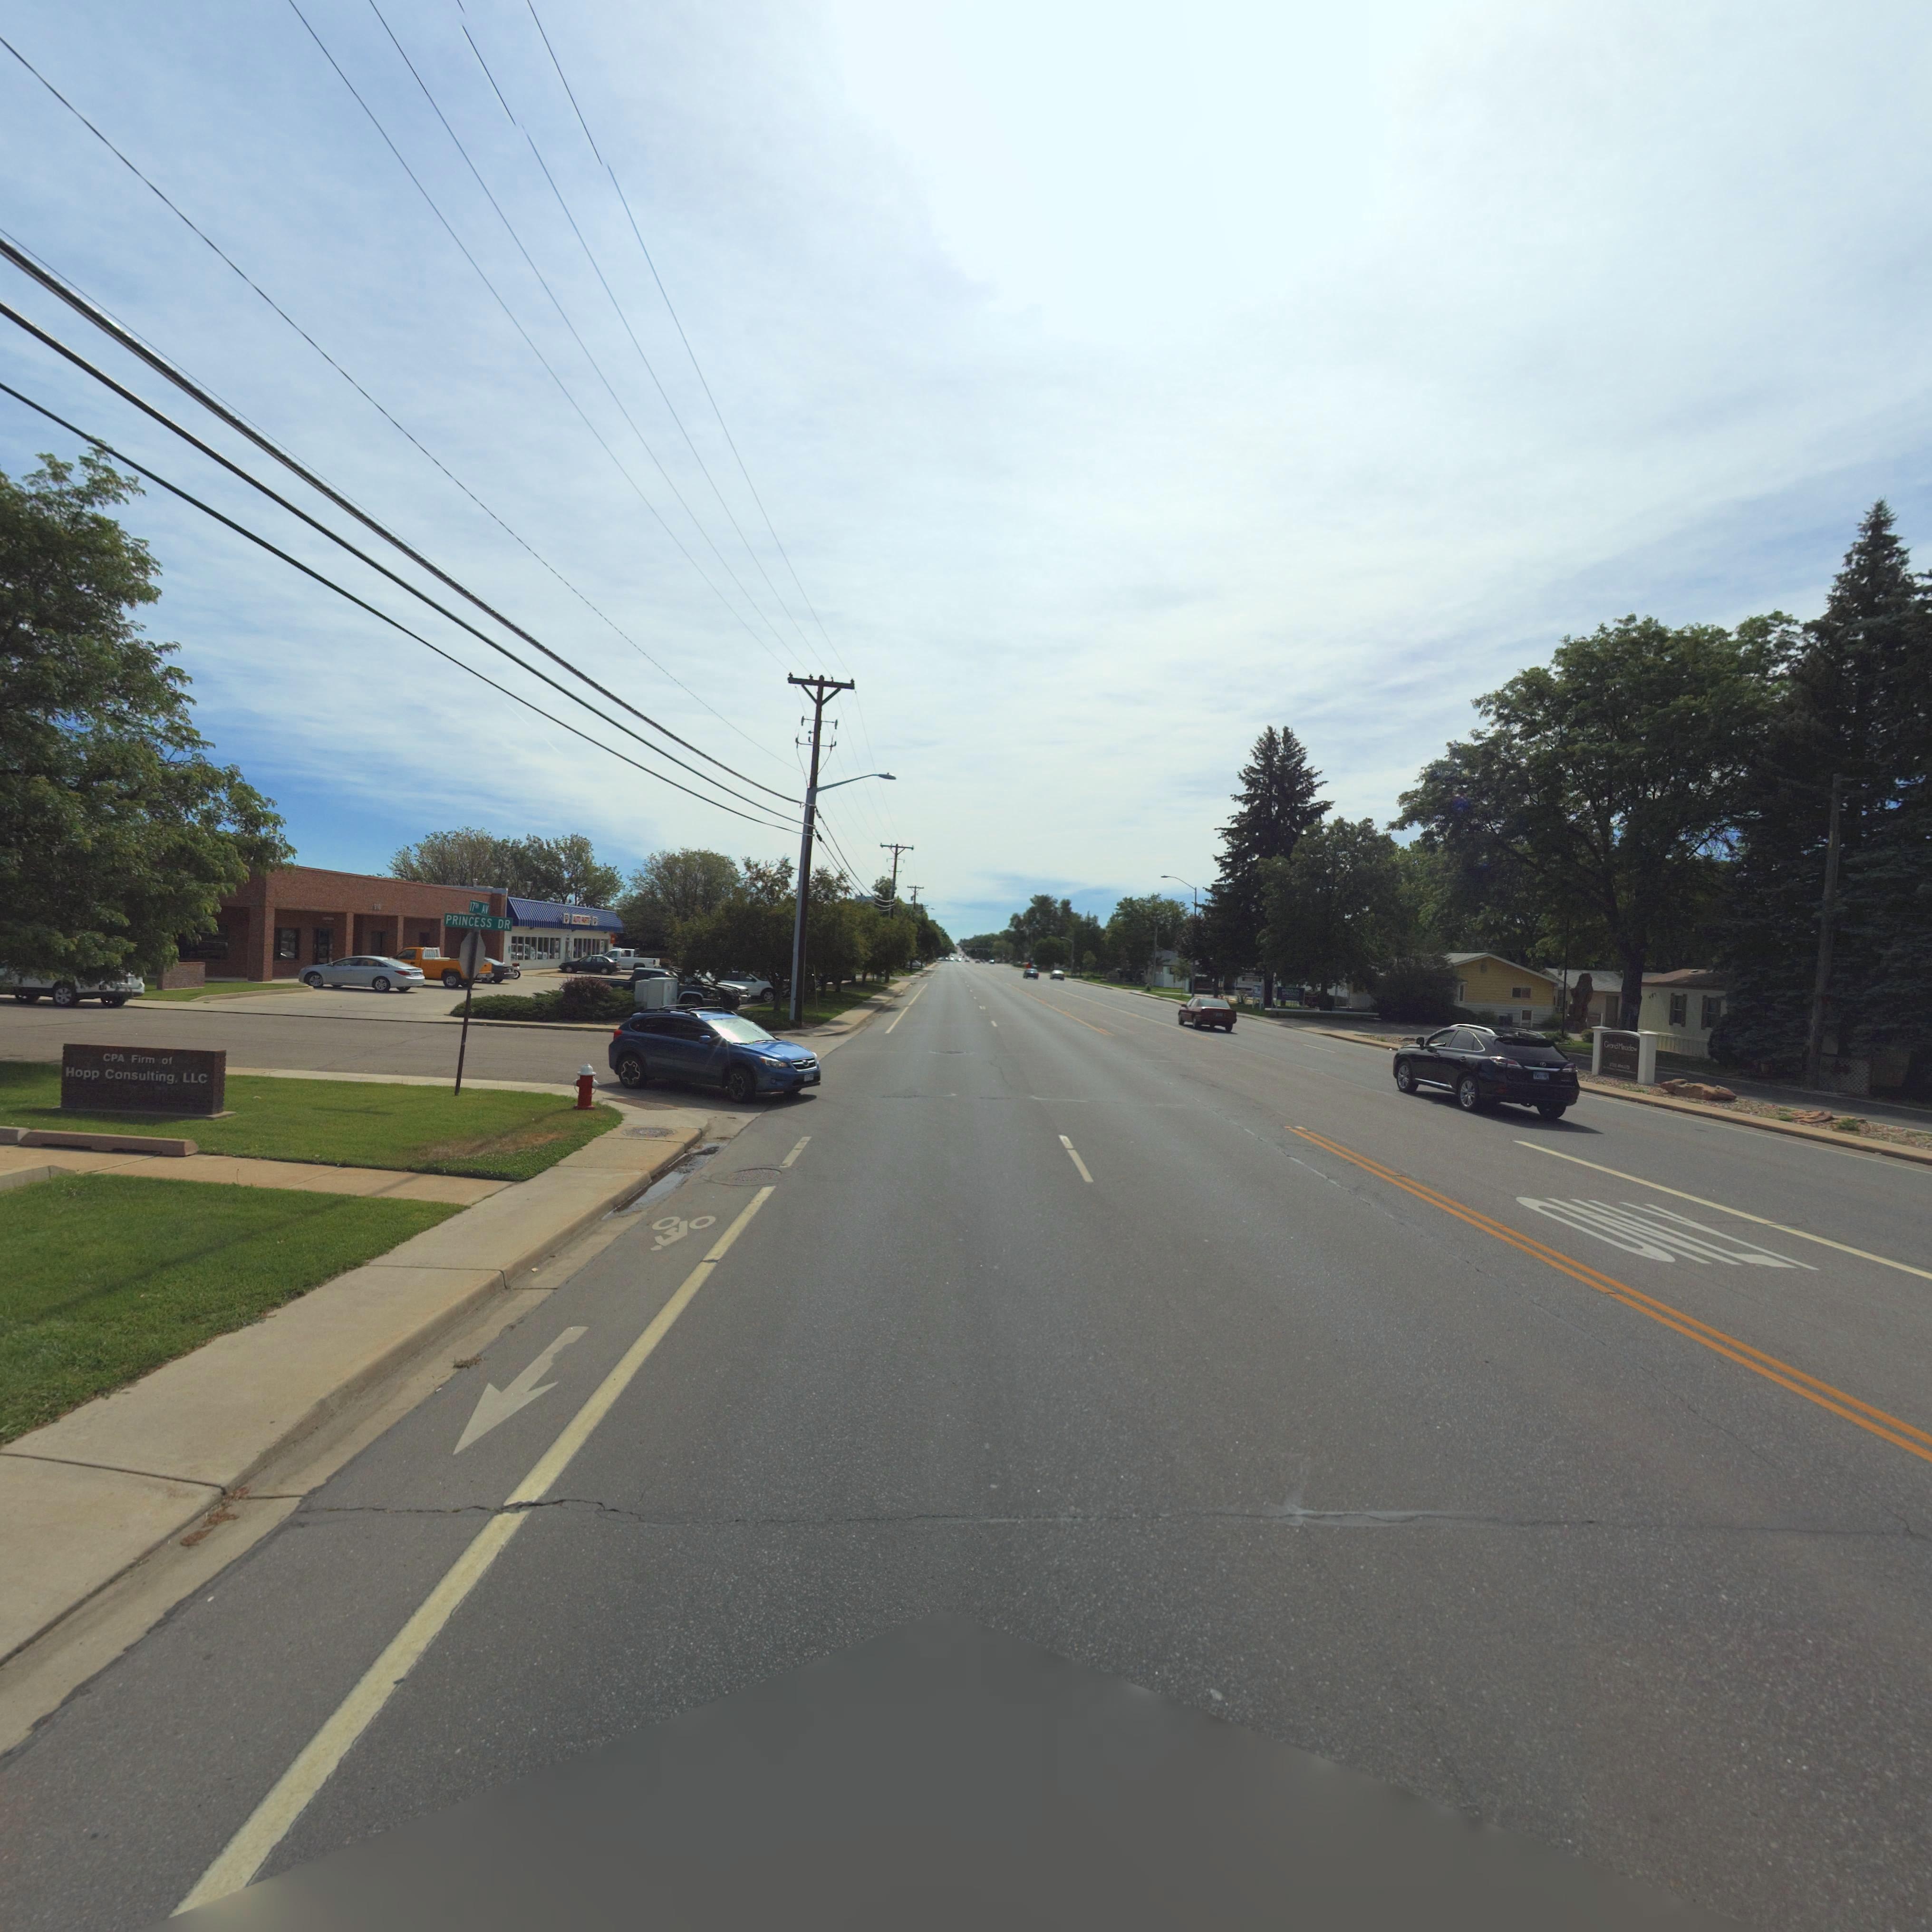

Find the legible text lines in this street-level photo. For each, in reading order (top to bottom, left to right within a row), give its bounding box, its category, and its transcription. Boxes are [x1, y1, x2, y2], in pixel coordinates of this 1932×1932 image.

[374, 903, 381, 910] StreetNumber: 9*6
[470, 901, 489, 914] StreetName: 17** AV
[445, 914, 511, 929] StreetName: PRINCESS DR
[572, 915, 590, 924] BusinessName: AUTO PARTS
[103, 1053, 173, 1065] BusinessName: CPA Firm of
[65, 1066, 208, 1085] BusinessName: Hopp Consulting, LLC